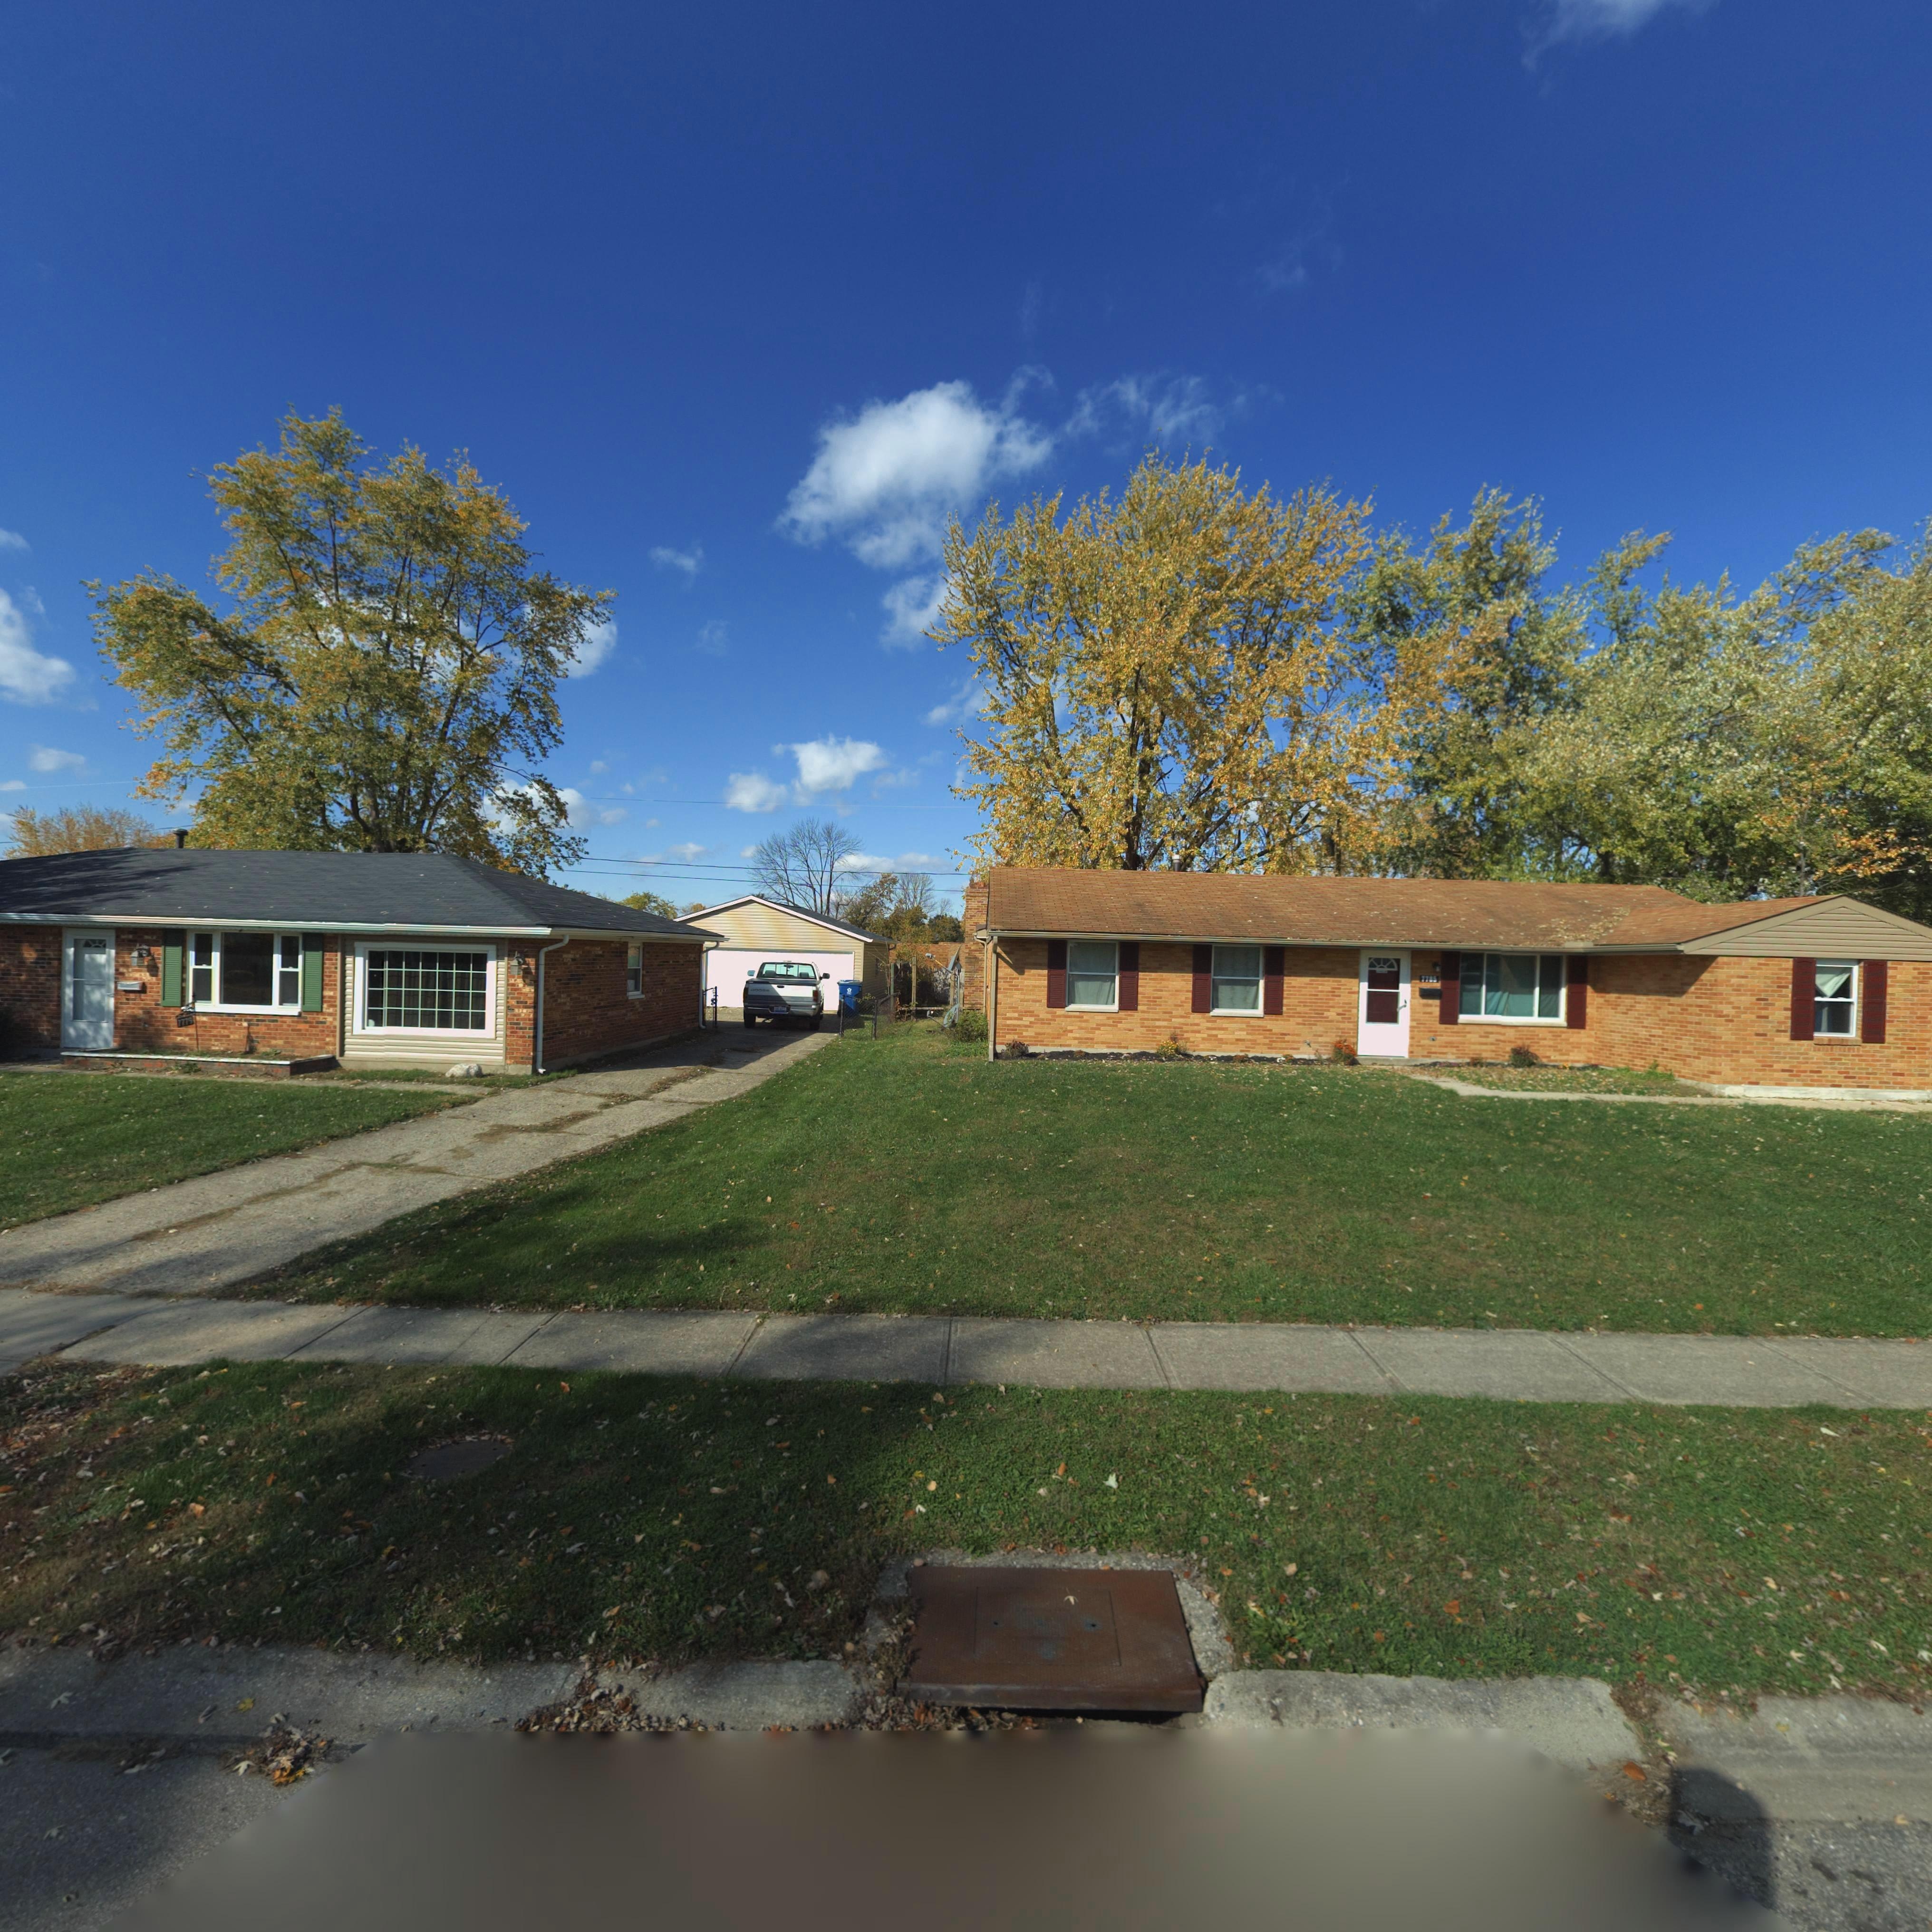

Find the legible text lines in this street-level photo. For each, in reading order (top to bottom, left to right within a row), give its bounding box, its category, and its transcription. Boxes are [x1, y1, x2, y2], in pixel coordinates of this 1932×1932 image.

[1420, 975, 1438, 983] StreetNumber: 7785
[177, 1016, 193, 1027] StreetNumber: 7779